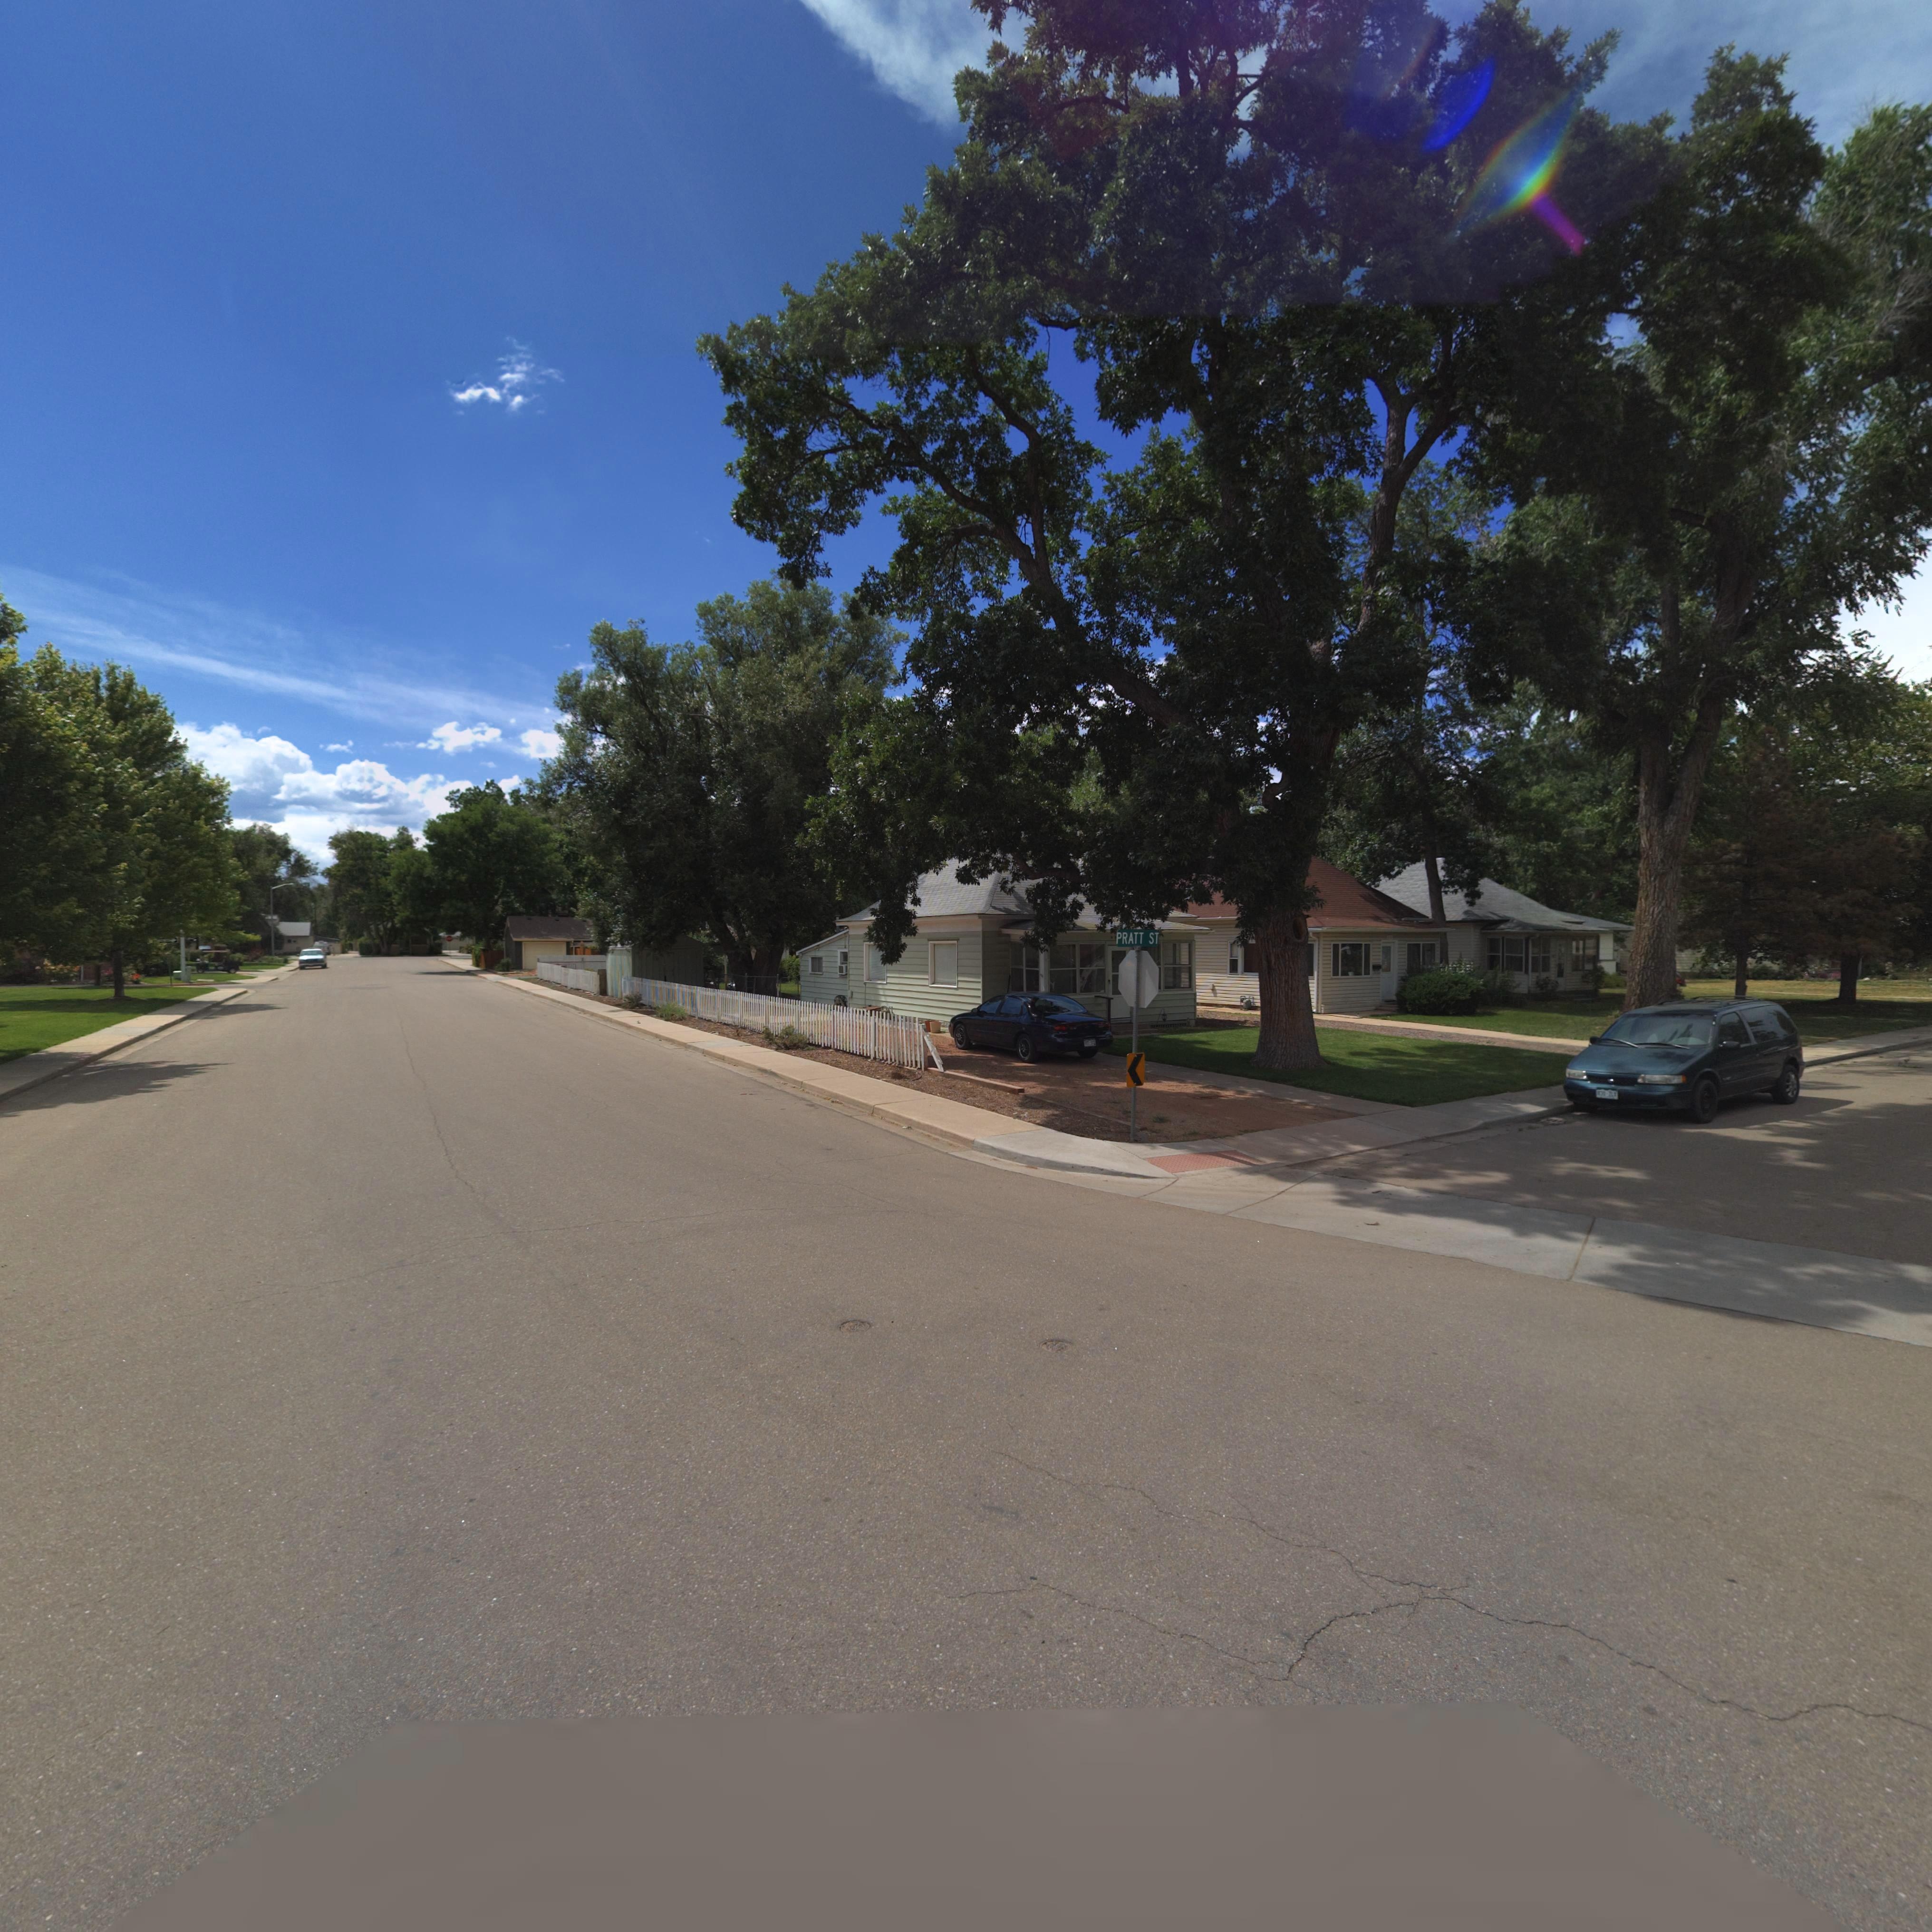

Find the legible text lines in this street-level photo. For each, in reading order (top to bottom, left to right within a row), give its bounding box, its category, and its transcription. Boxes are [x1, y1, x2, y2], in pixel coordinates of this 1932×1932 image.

[1116, 932, 1159, 944] BusinessName: PRATT ST